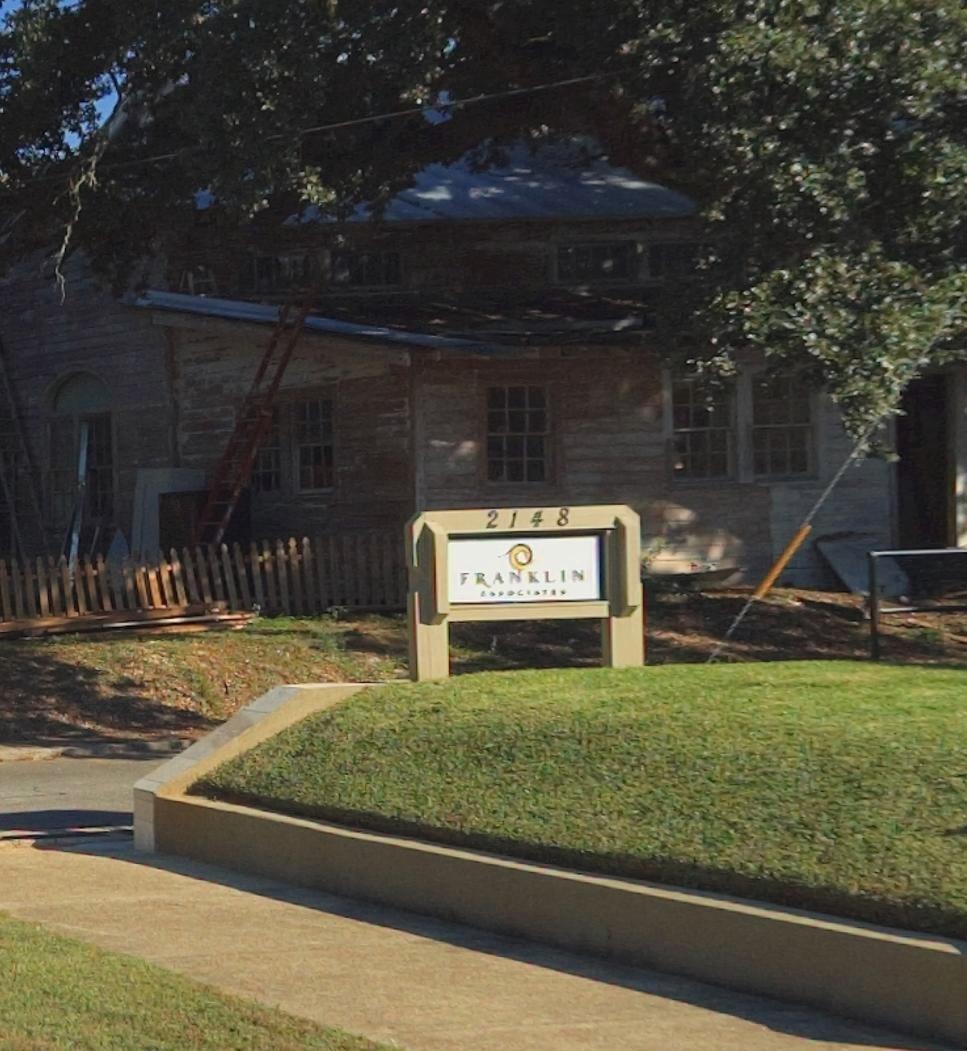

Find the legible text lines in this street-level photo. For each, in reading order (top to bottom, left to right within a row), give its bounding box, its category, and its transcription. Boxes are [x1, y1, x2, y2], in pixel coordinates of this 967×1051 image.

[483, 506, 571, 530] StreetNumber: 2148
[458, 566, 587, 589] BusinessName: FRANKLIN